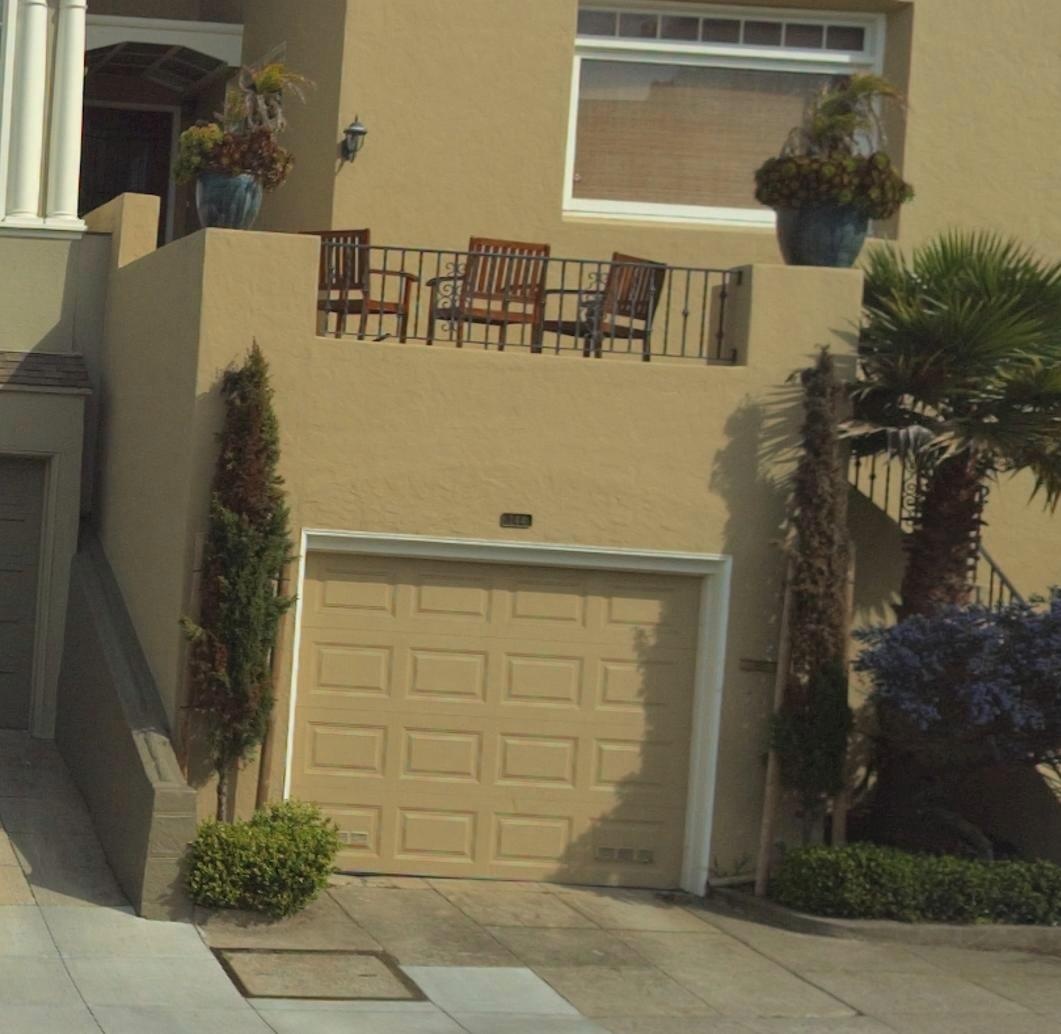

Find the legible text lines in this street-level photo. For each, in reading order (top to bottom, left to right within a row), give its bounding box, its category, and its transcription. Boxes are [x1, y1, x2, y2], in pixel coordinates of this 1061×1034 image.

[506, 513, 529, 527] StreetNumber: 144